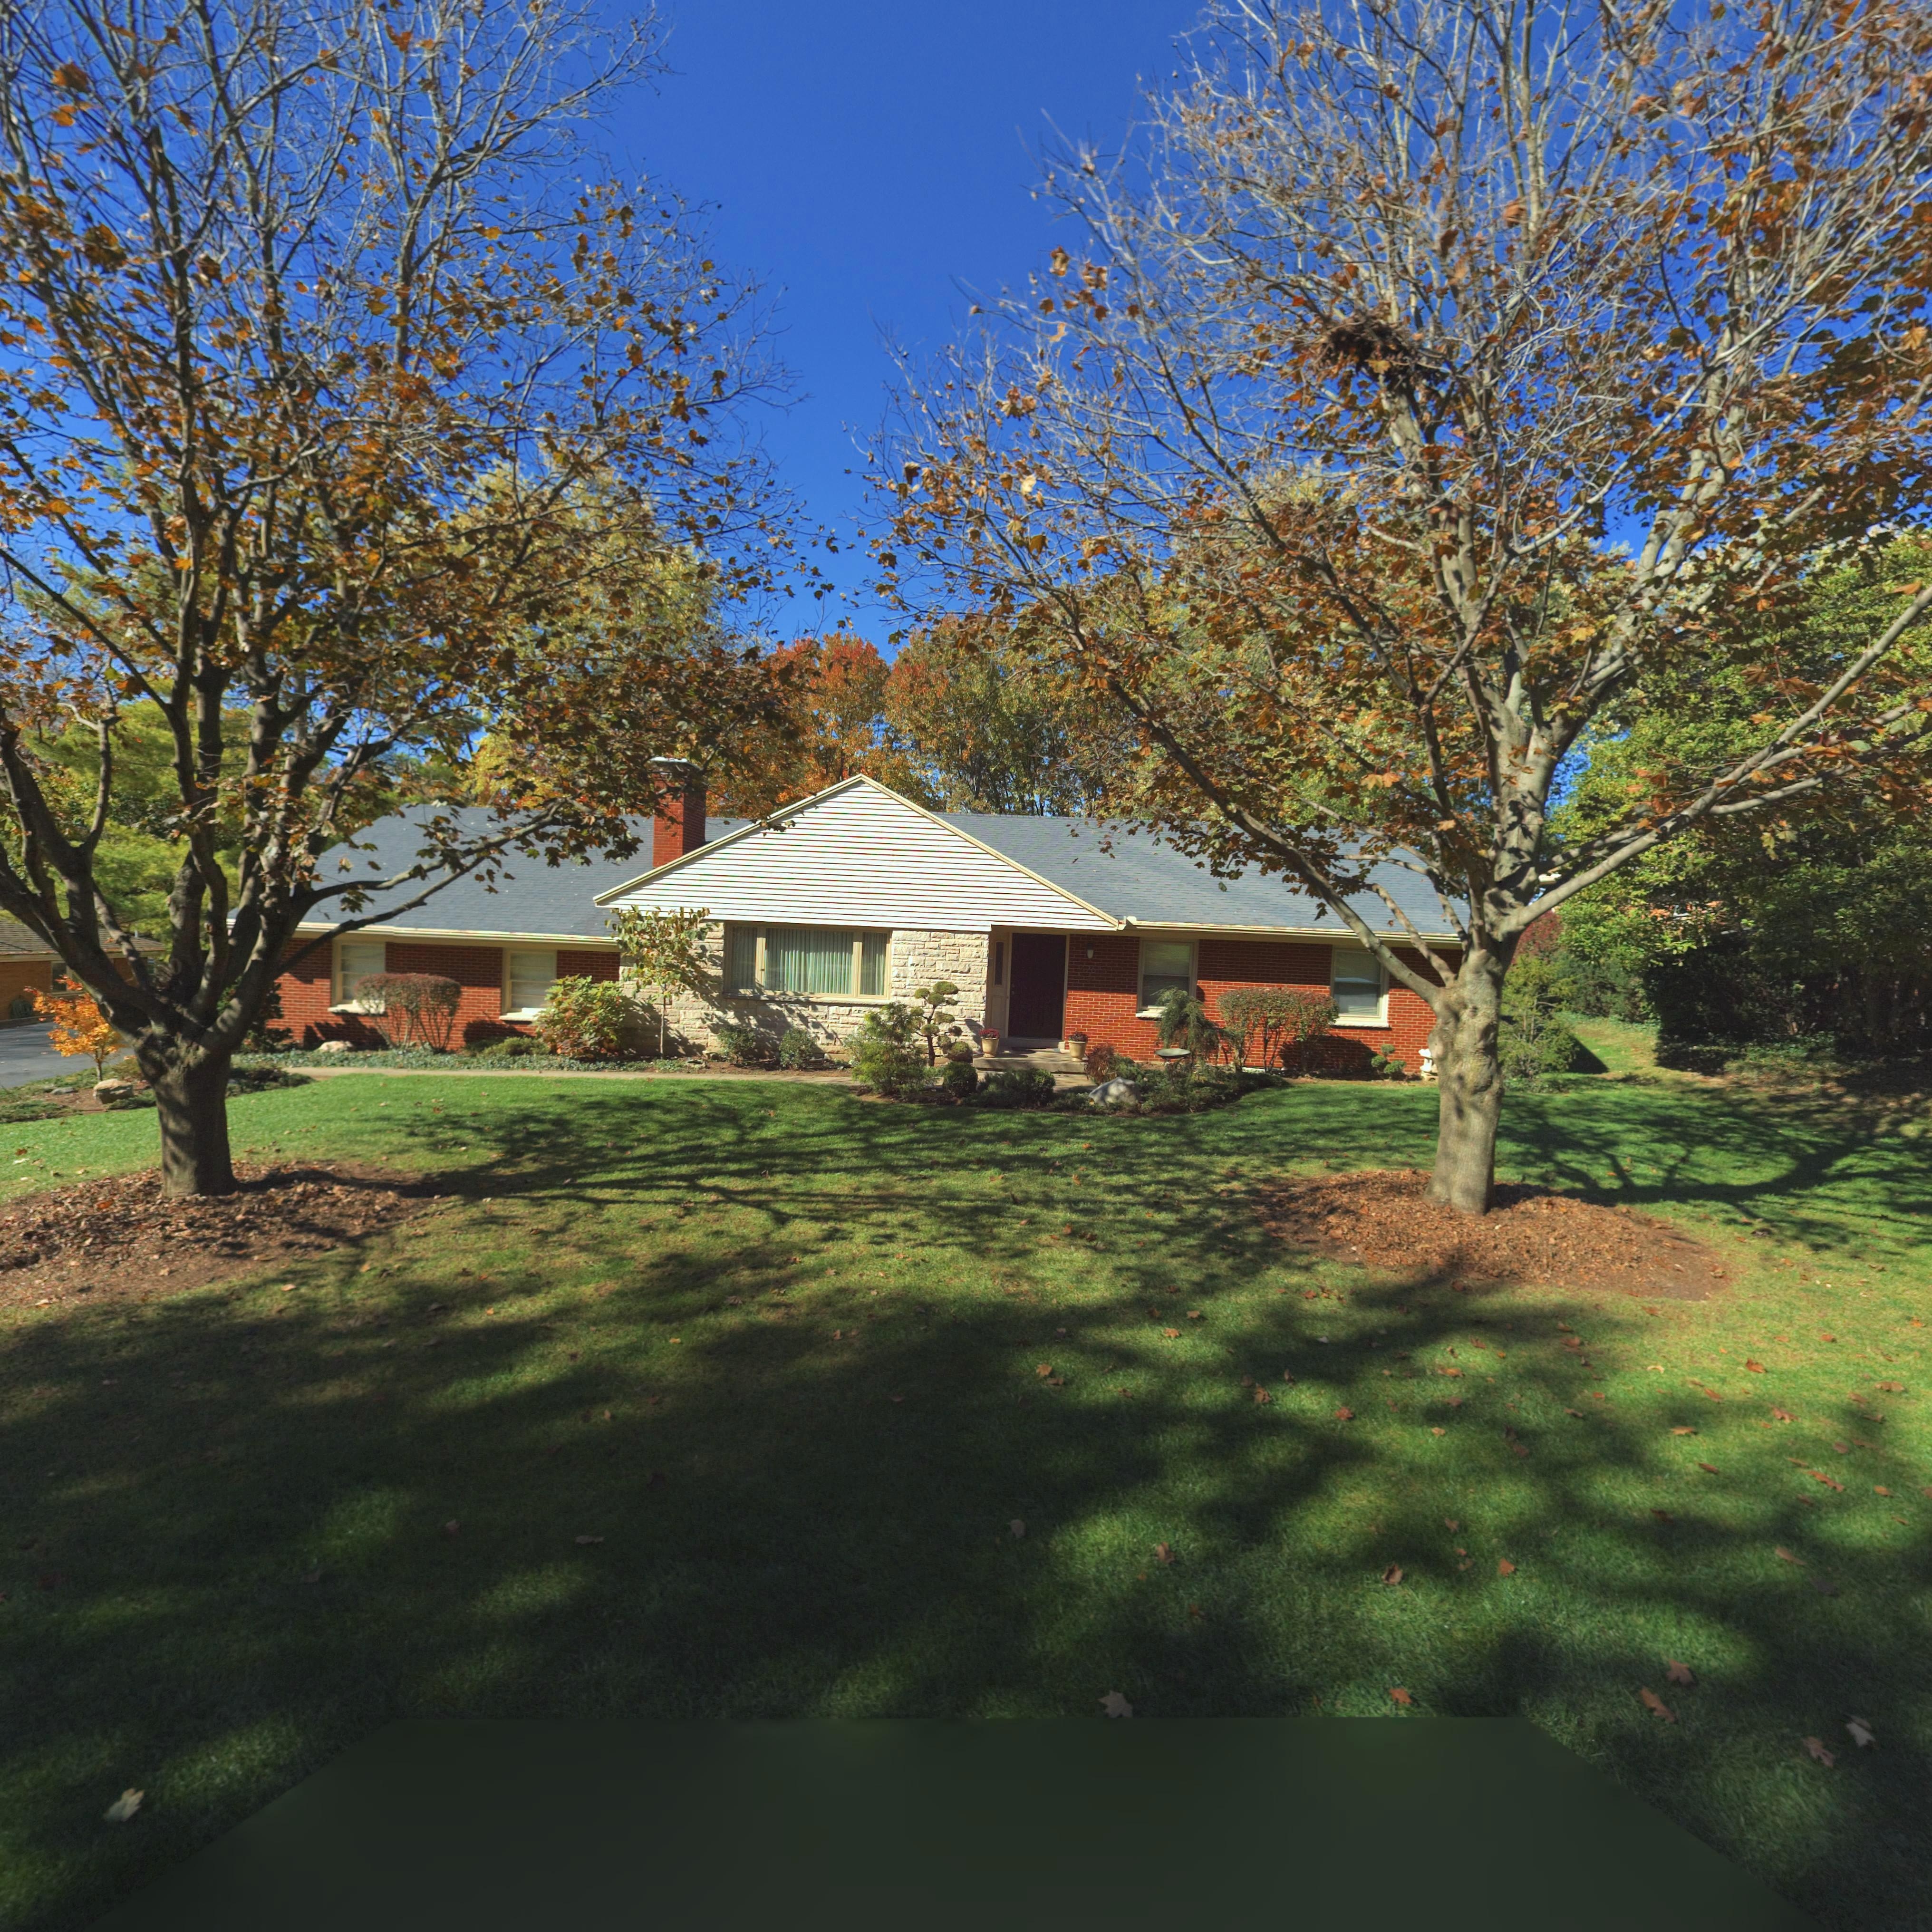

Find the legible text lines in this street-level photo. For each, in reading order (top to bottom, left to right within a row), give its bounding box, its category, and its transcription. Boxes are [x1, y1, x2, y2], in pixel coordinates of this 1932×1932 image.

[1079, 964, 1100, 974] StreetNumber: 4261